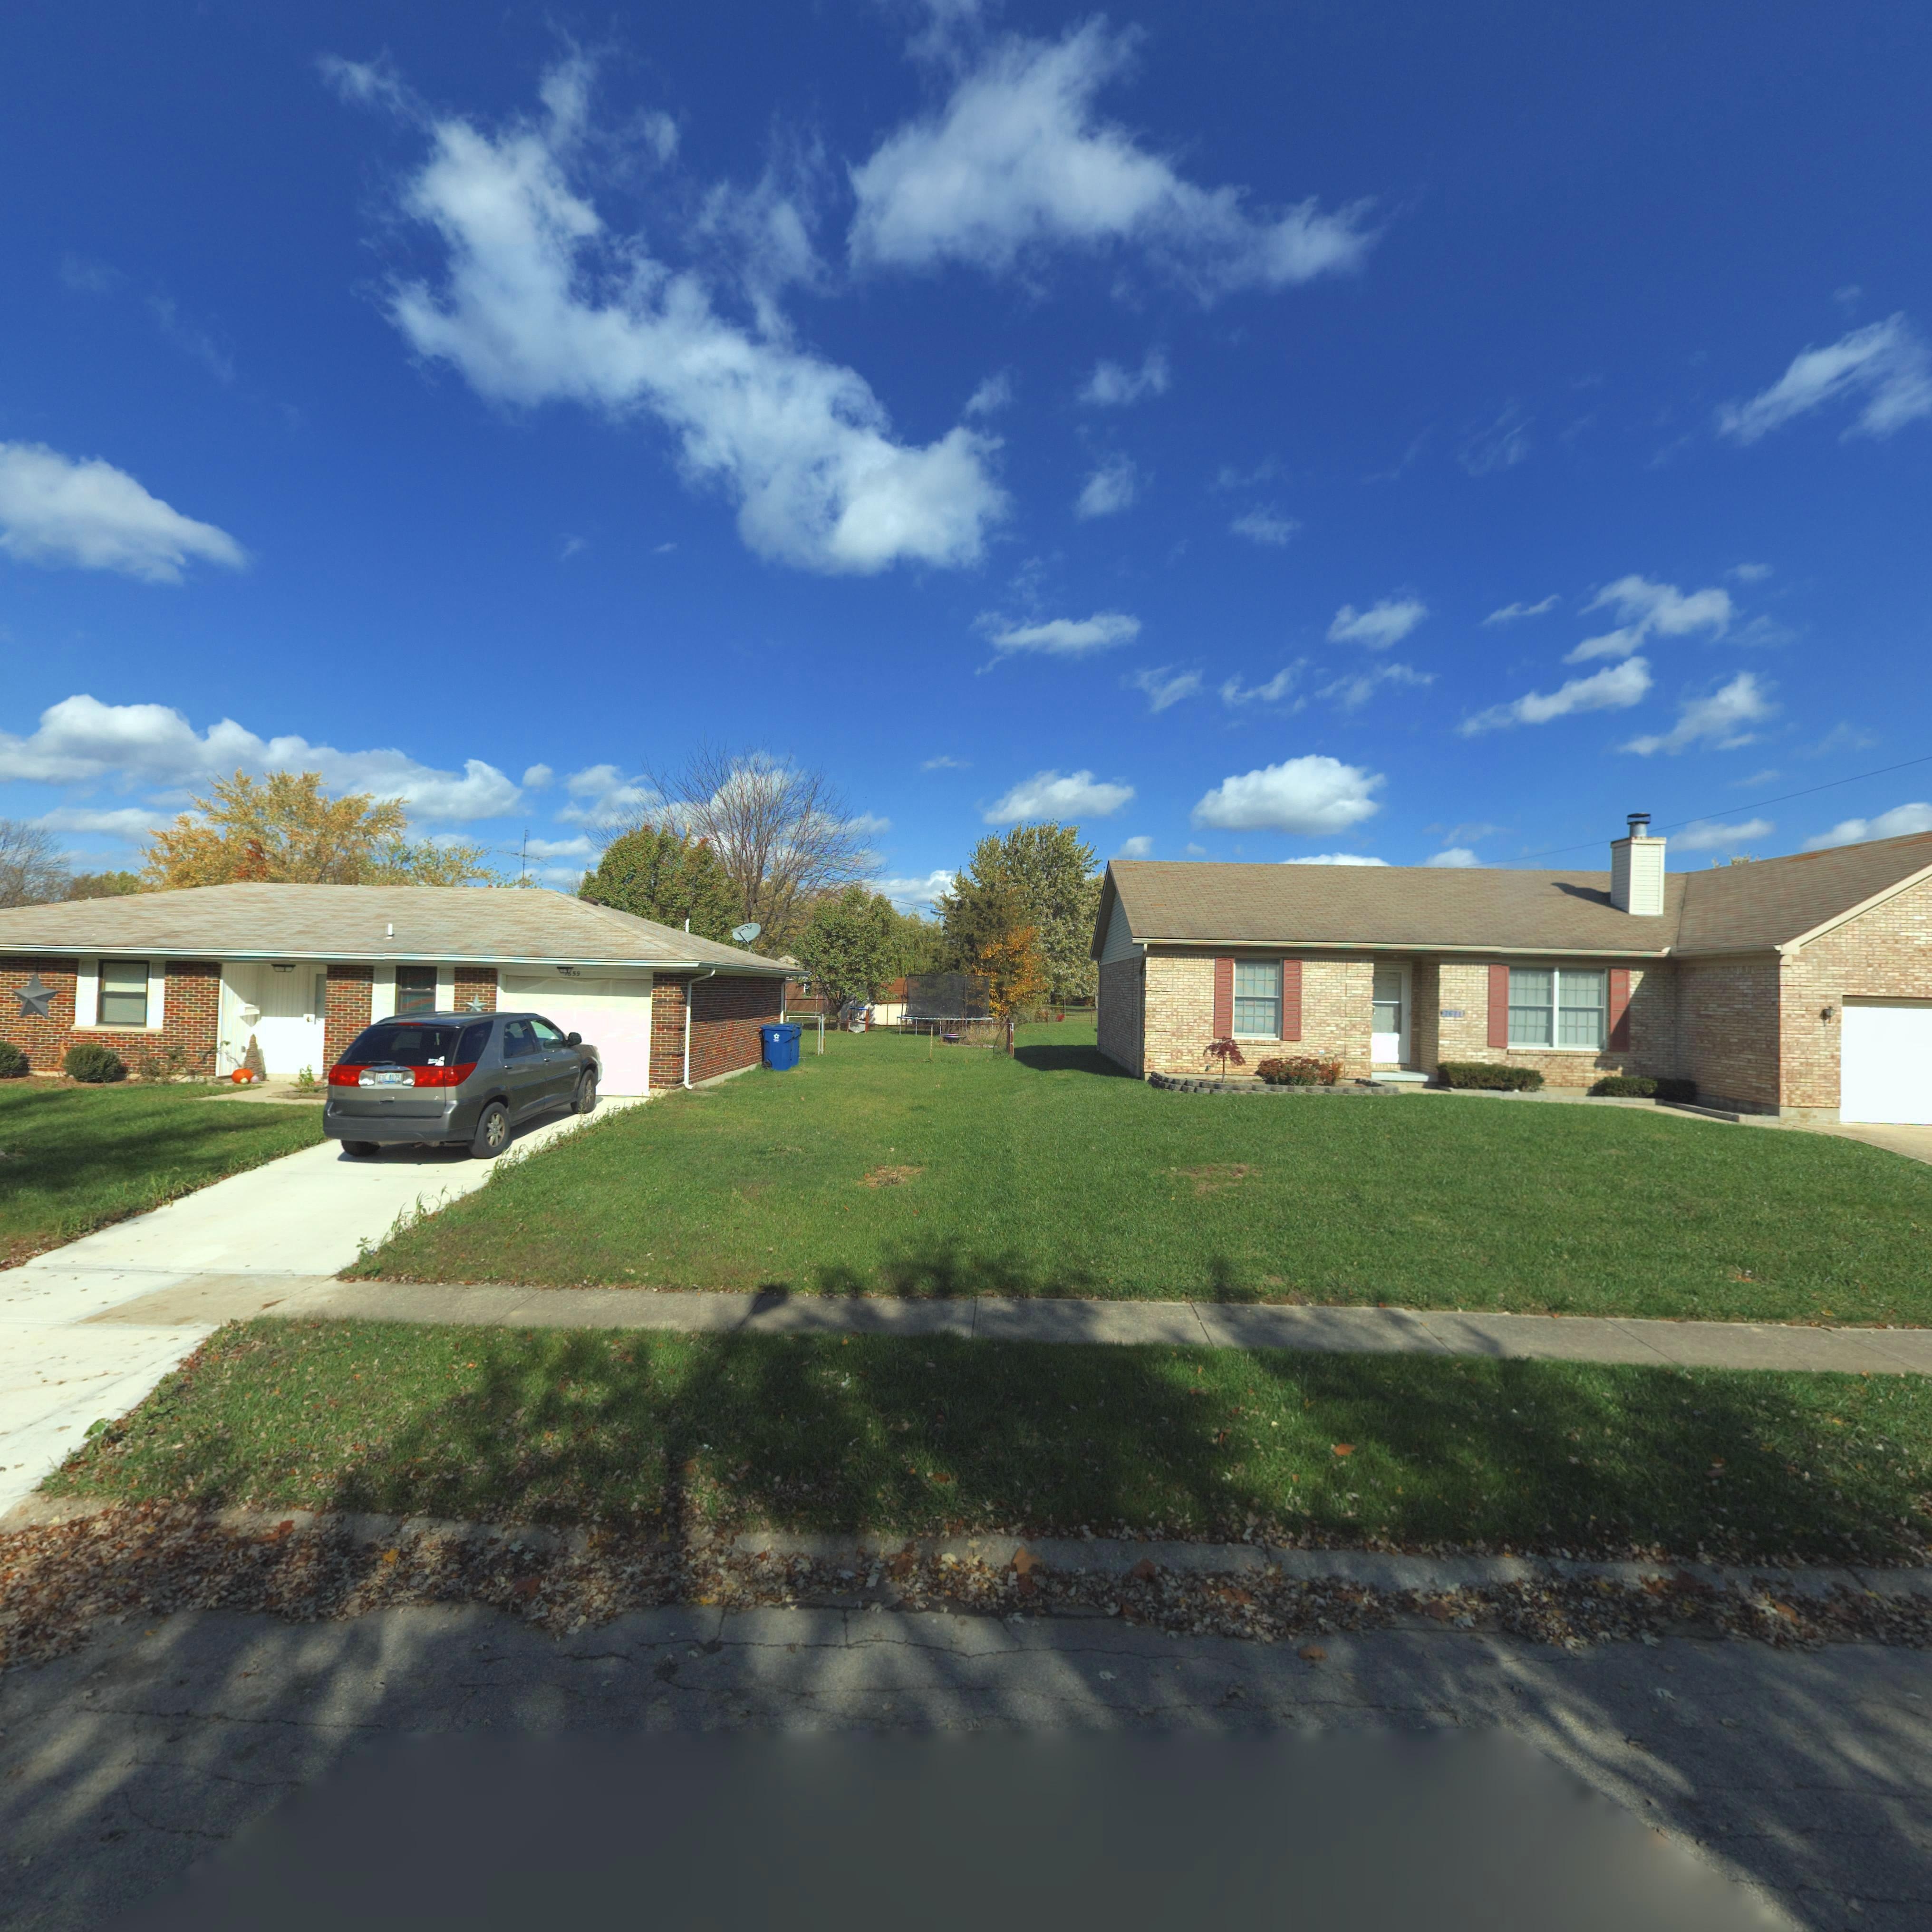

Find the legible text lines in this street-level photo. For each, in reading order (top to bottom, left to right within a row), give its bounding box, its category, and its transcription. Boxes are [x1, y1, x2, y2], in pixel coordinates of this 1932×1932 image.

[571, 971, 580, 976] StreetNumber: 59
[1444, 1010, 1462, 1018] StreetNumber: 7671